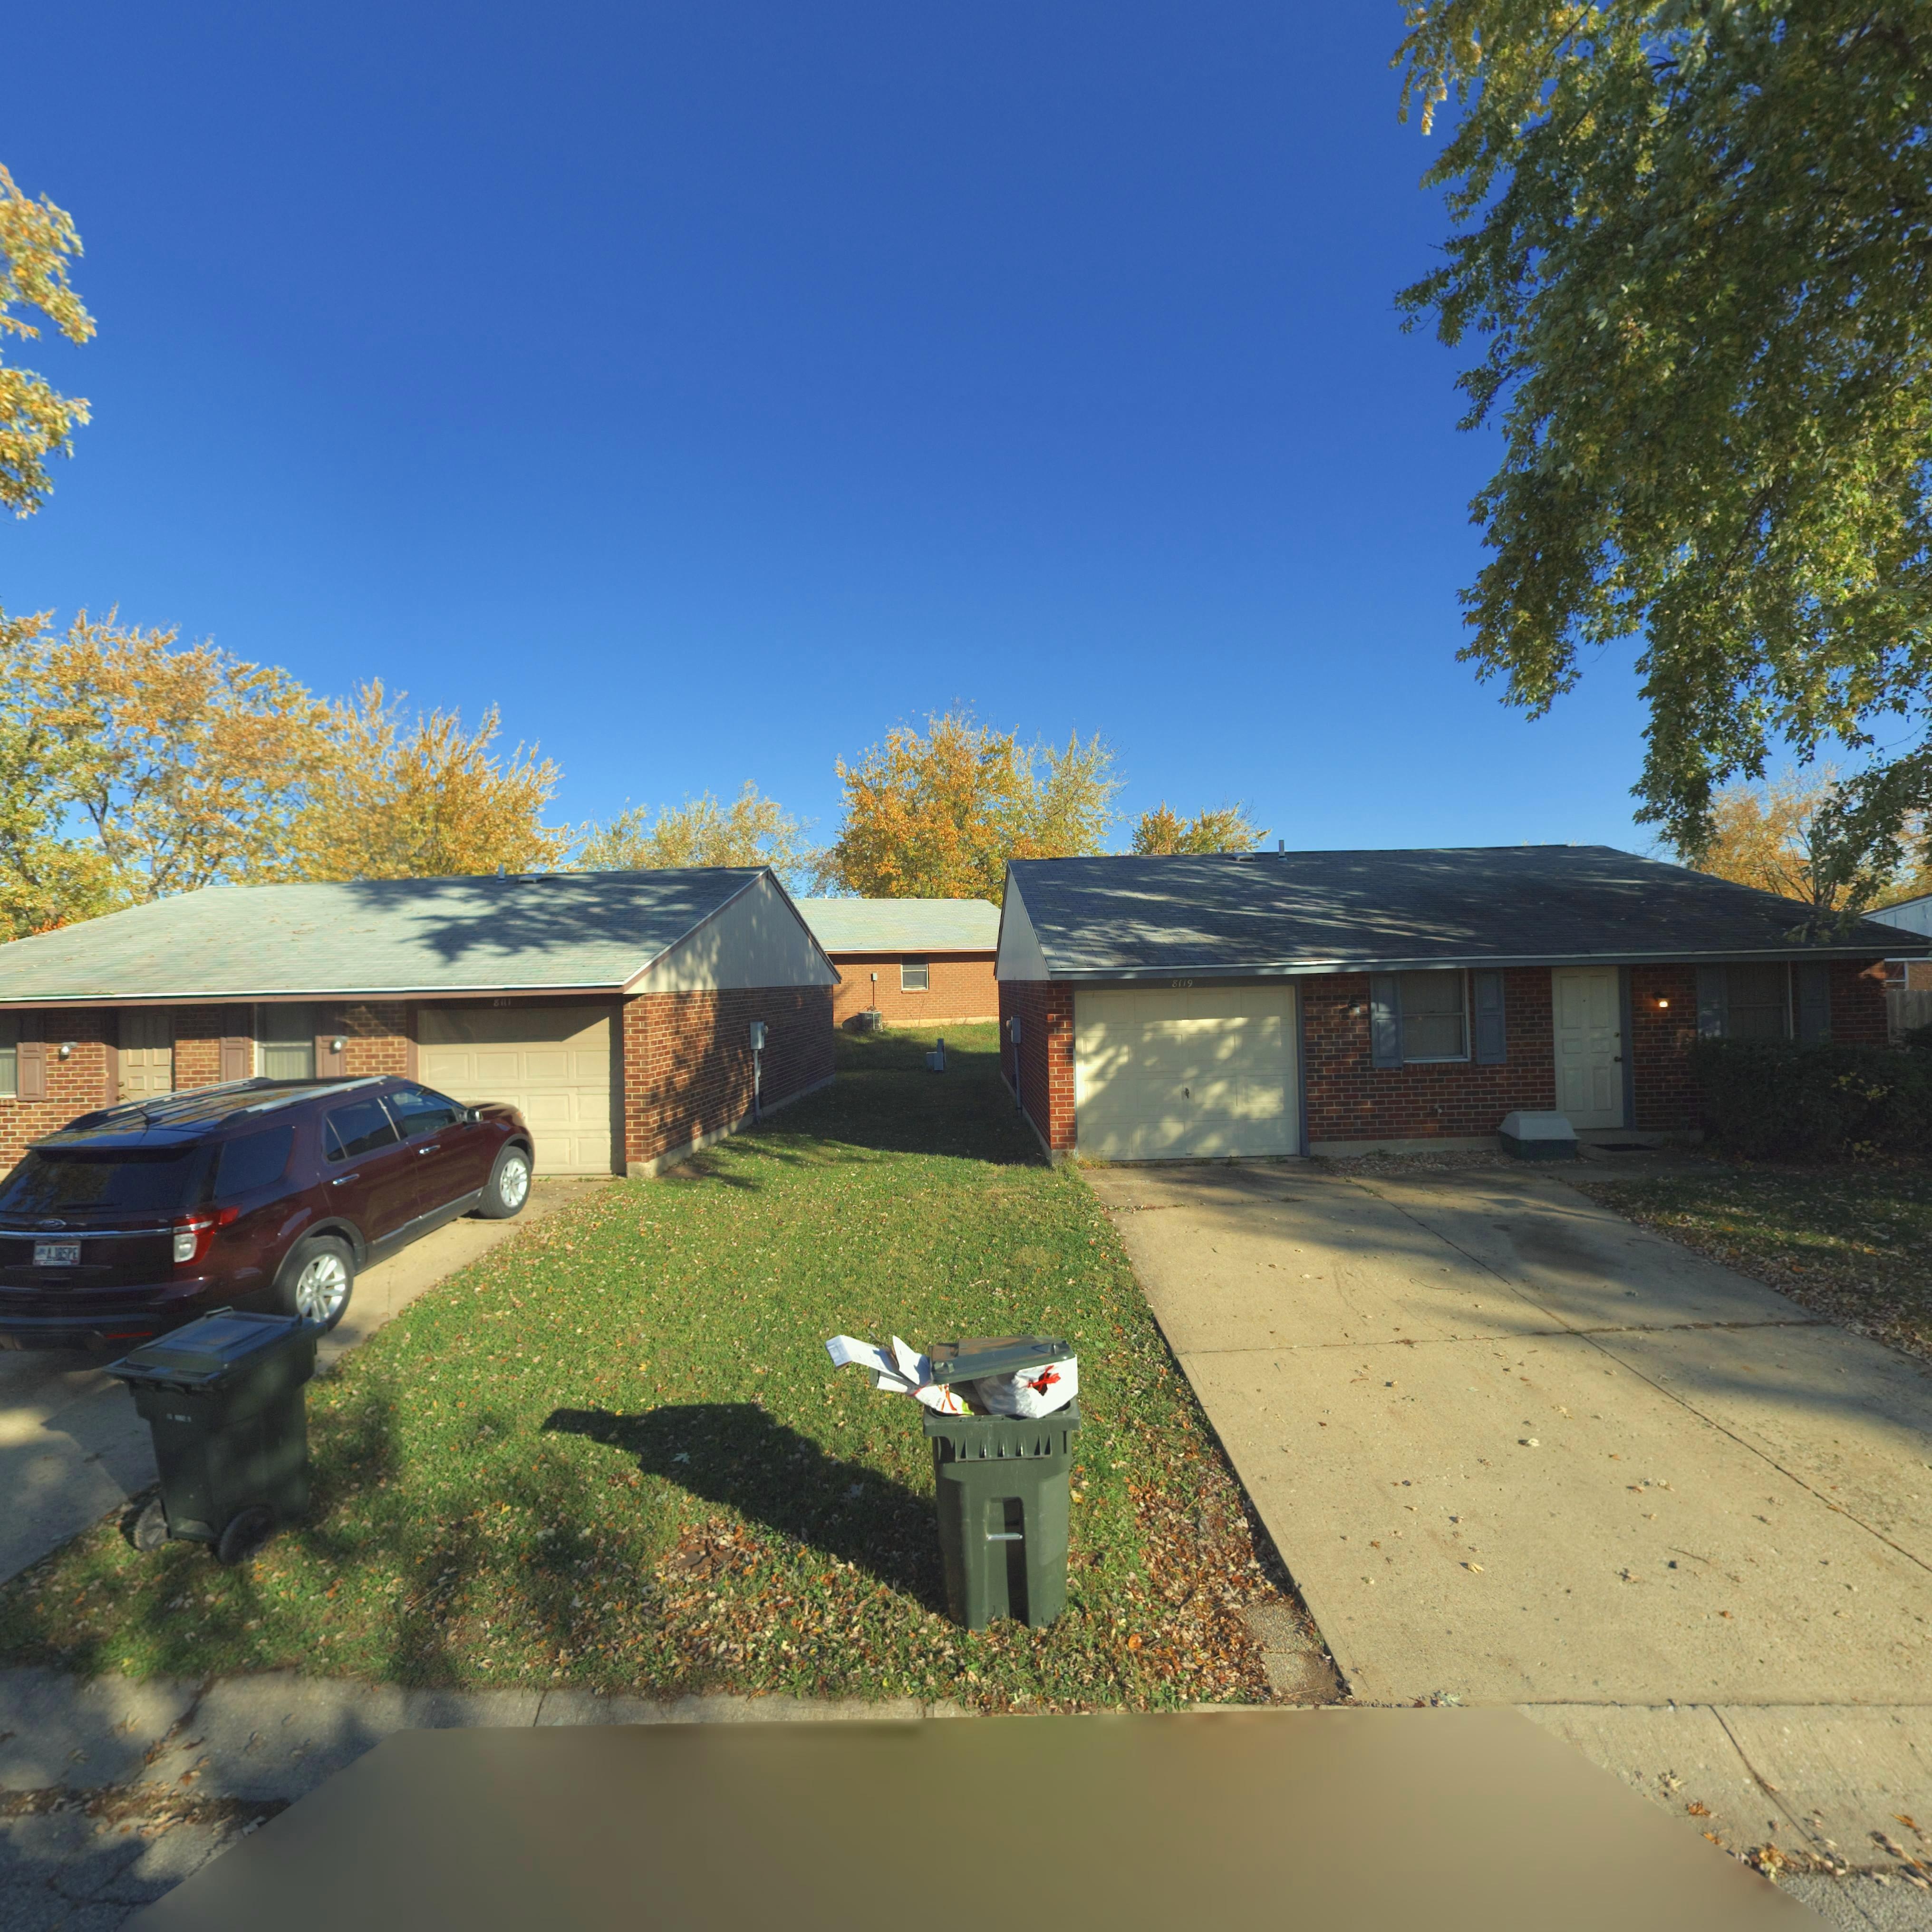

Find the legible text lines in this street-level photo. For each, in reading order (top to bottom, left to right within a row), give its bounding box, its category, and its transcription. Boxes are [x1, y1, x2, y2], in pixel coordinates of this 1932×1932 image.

[1170, 978, 1194, 989] StreetNumber: 8119
[491, 996, 513, 1009] StreetNumber: 8111